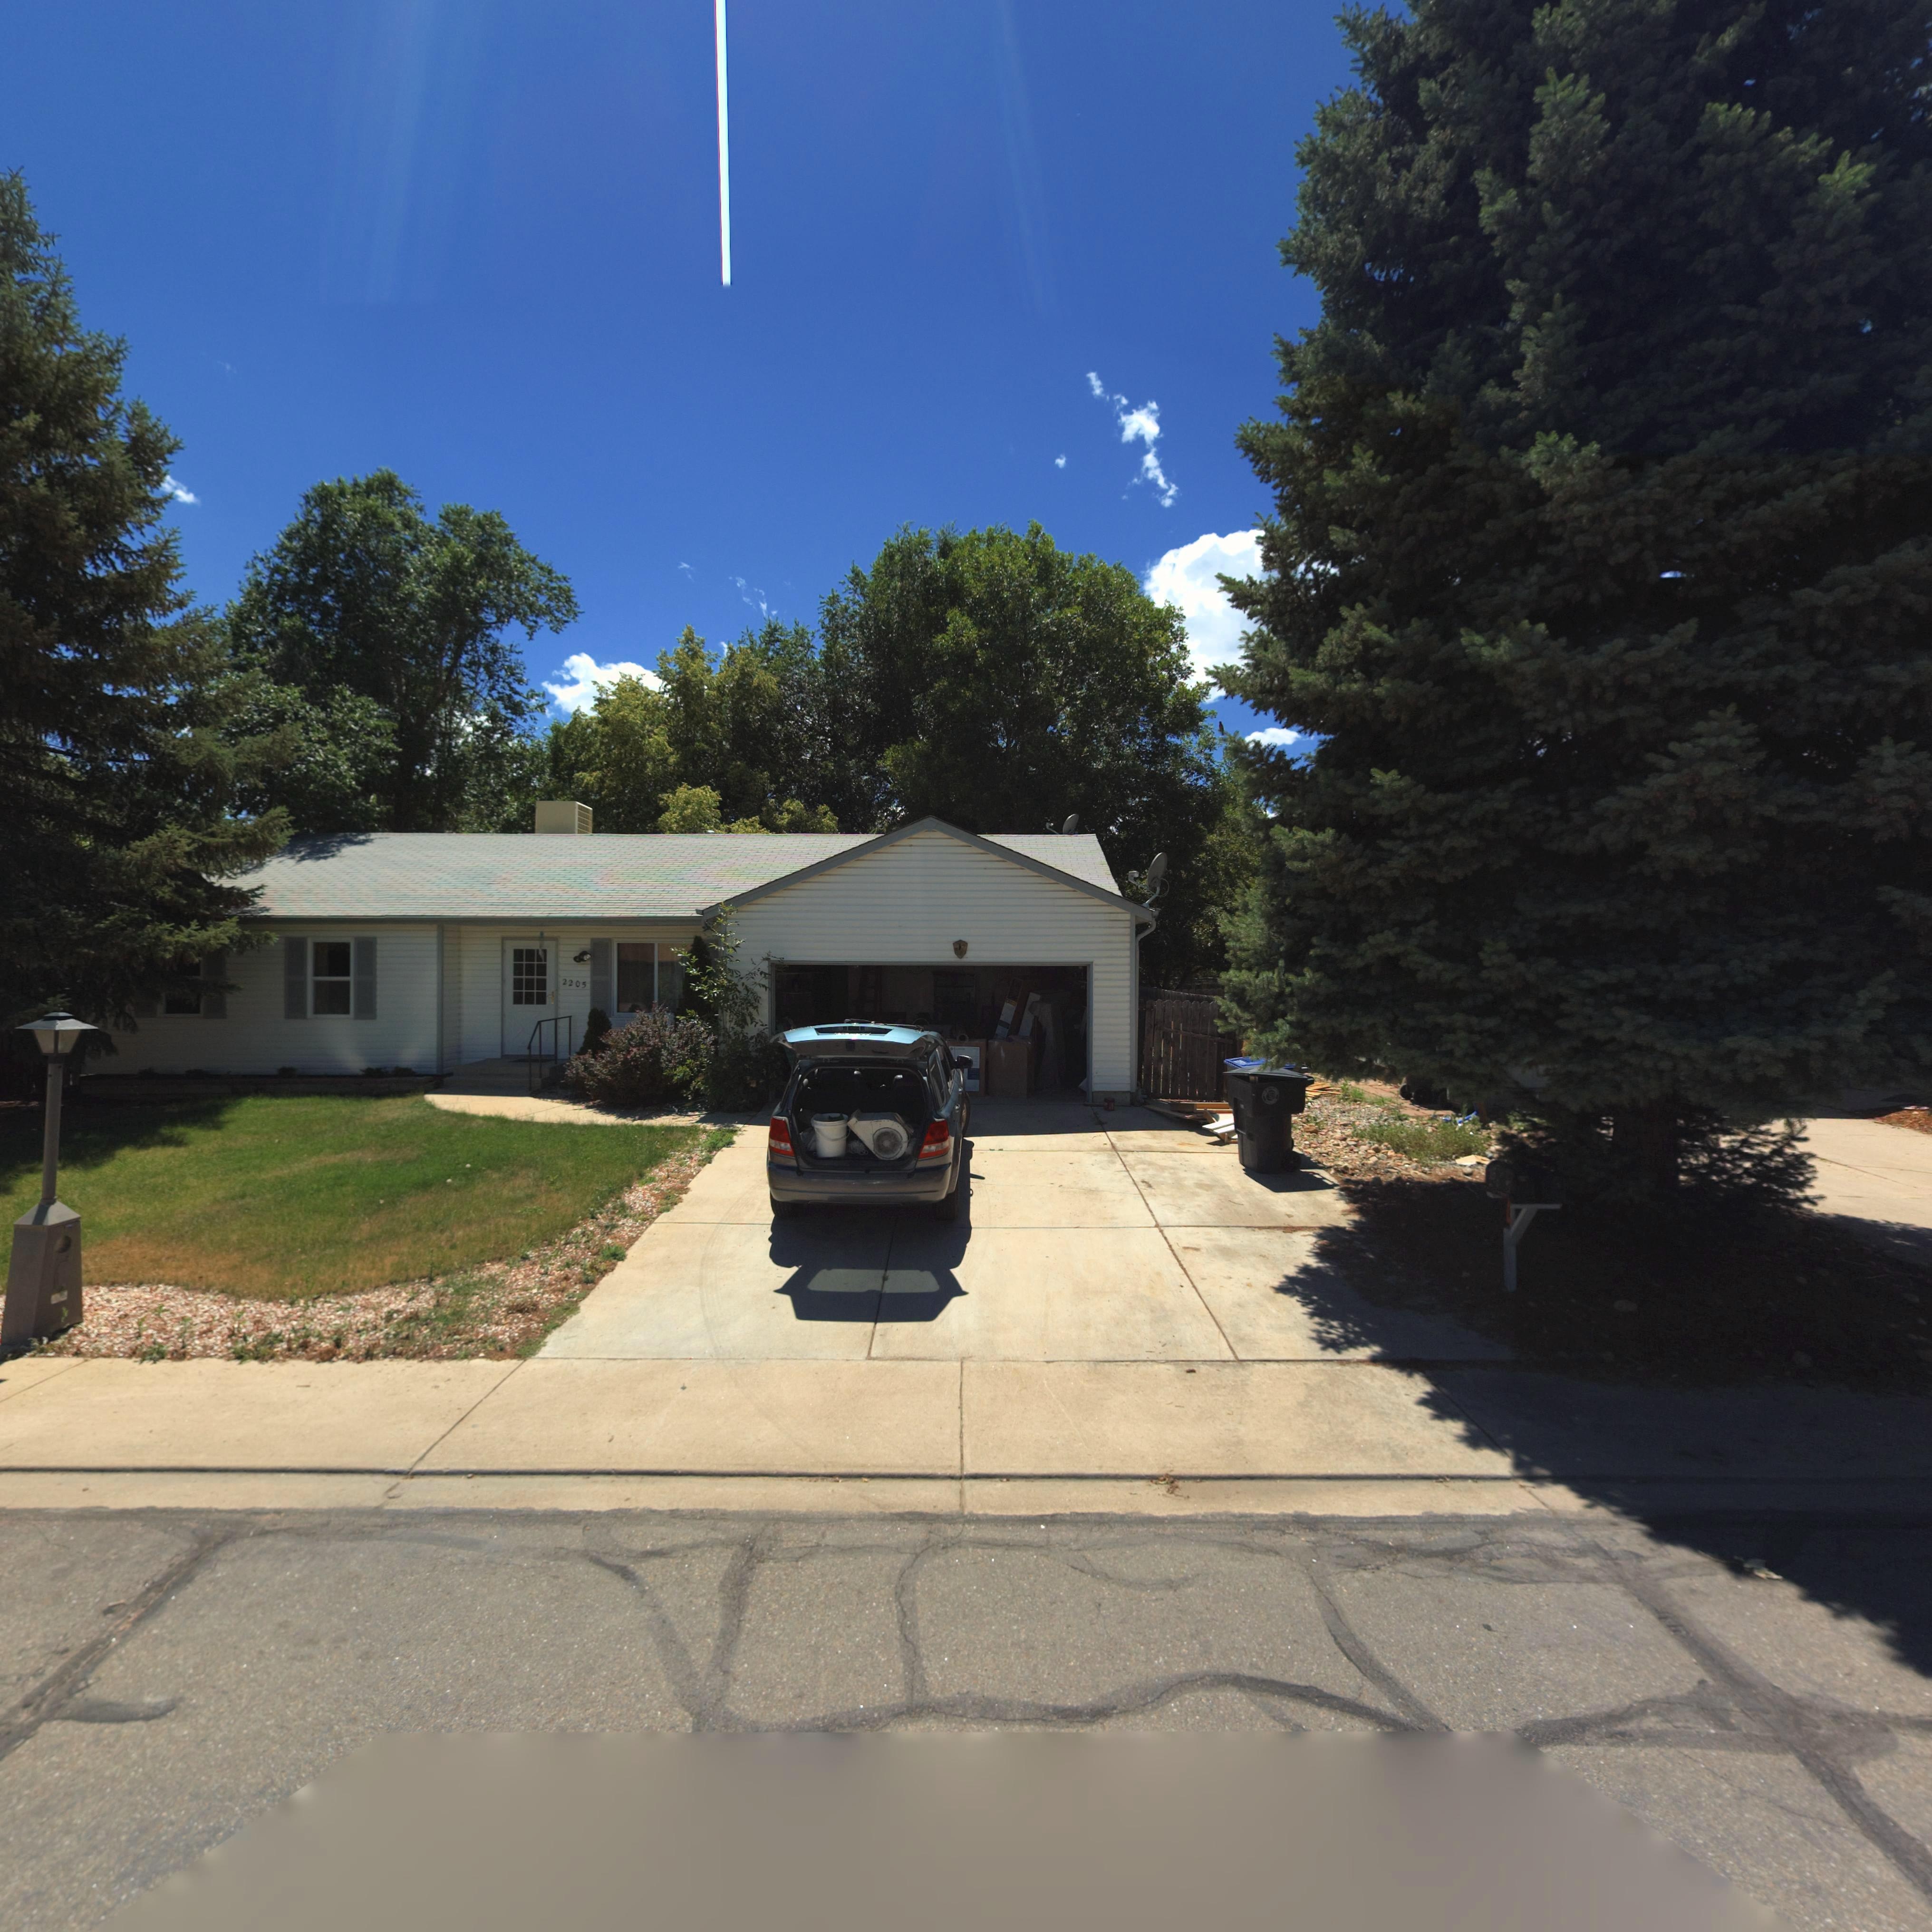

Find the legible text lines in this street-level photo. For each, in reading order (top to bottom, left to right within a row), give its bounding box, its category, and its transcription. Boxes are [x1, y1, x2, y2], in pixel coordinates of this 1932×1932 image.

[562, 977, 586, 988] StreetNumber: 2205